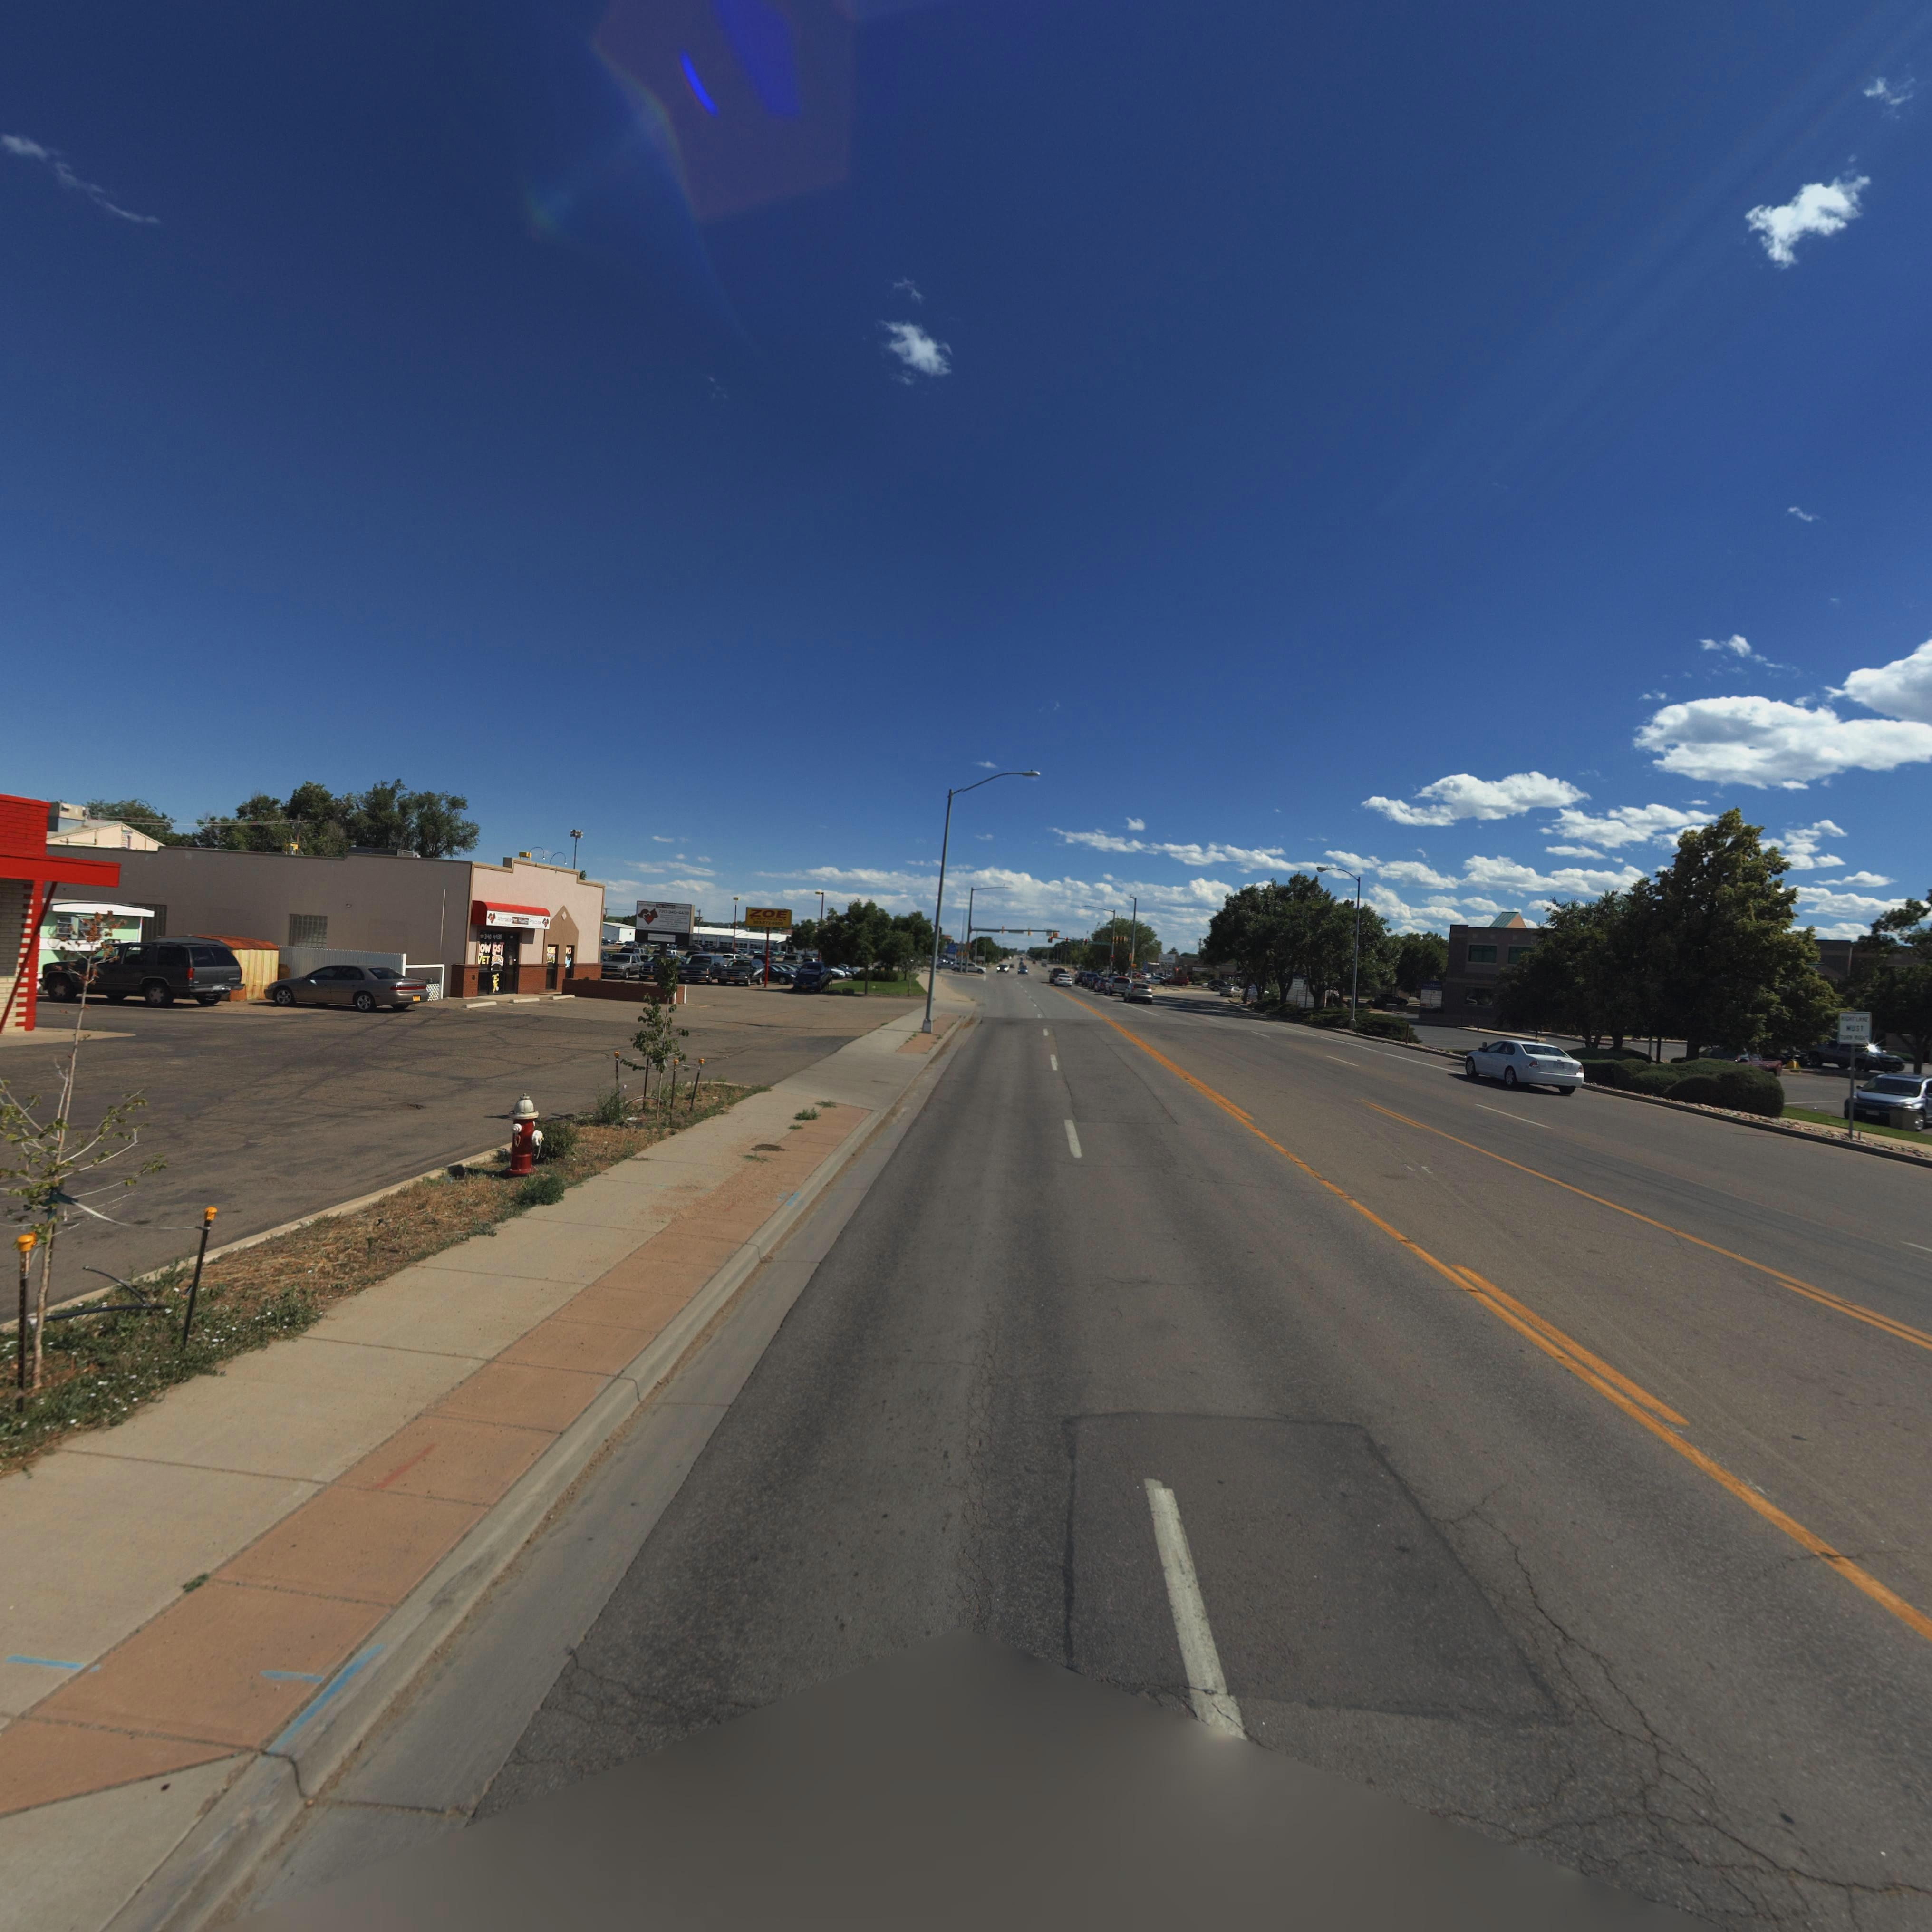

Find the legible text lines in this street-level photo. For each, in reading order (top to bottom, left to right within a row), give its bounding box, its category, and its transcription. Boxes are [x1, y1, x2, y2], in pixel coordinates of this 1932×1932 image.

[748, 908, 788, 918] BusinessName: ZOE
[496, 916, 541, 924] BusinessName: A*for***** Pet Health P*****ce